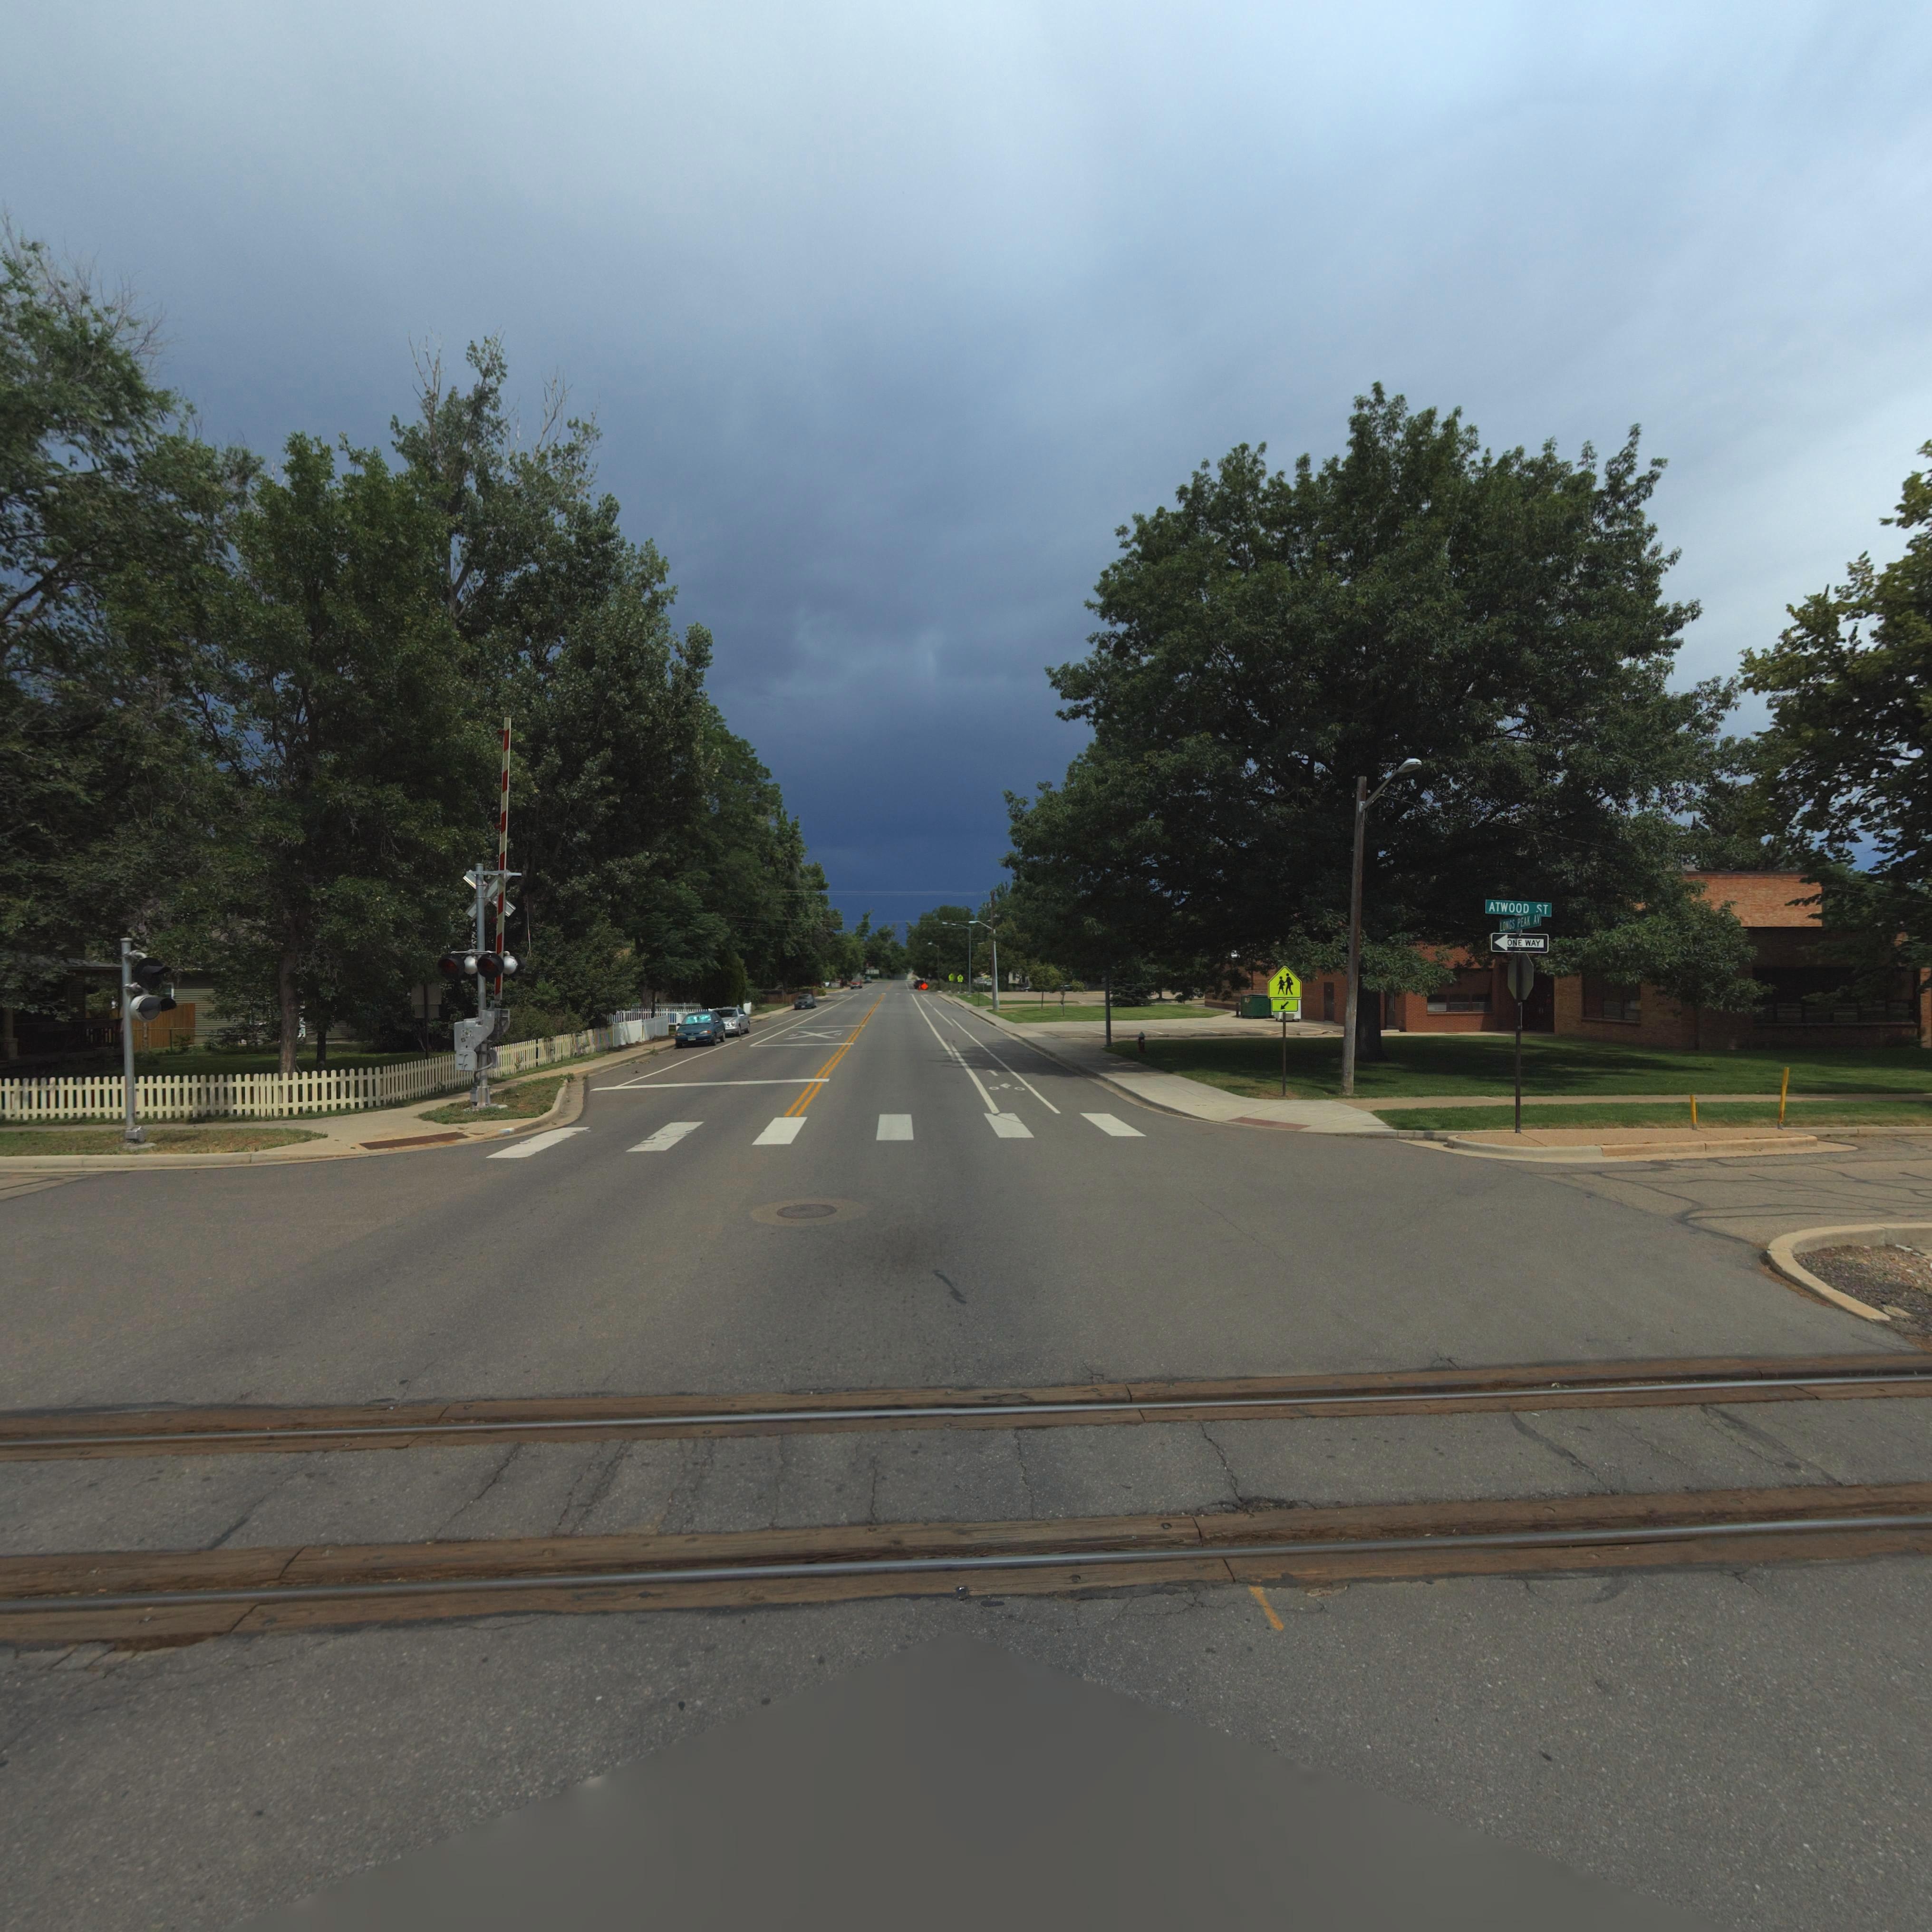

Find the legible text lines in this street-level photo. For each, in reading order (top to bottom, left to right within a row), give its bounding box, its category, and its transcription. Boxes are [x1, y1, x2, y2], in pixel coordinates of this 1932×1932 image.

[1488, 901, 1548, 915] StreetName: ATWOOD ST
[1499, 912, 1540, 931] StreetName: LONGS PEAK AV